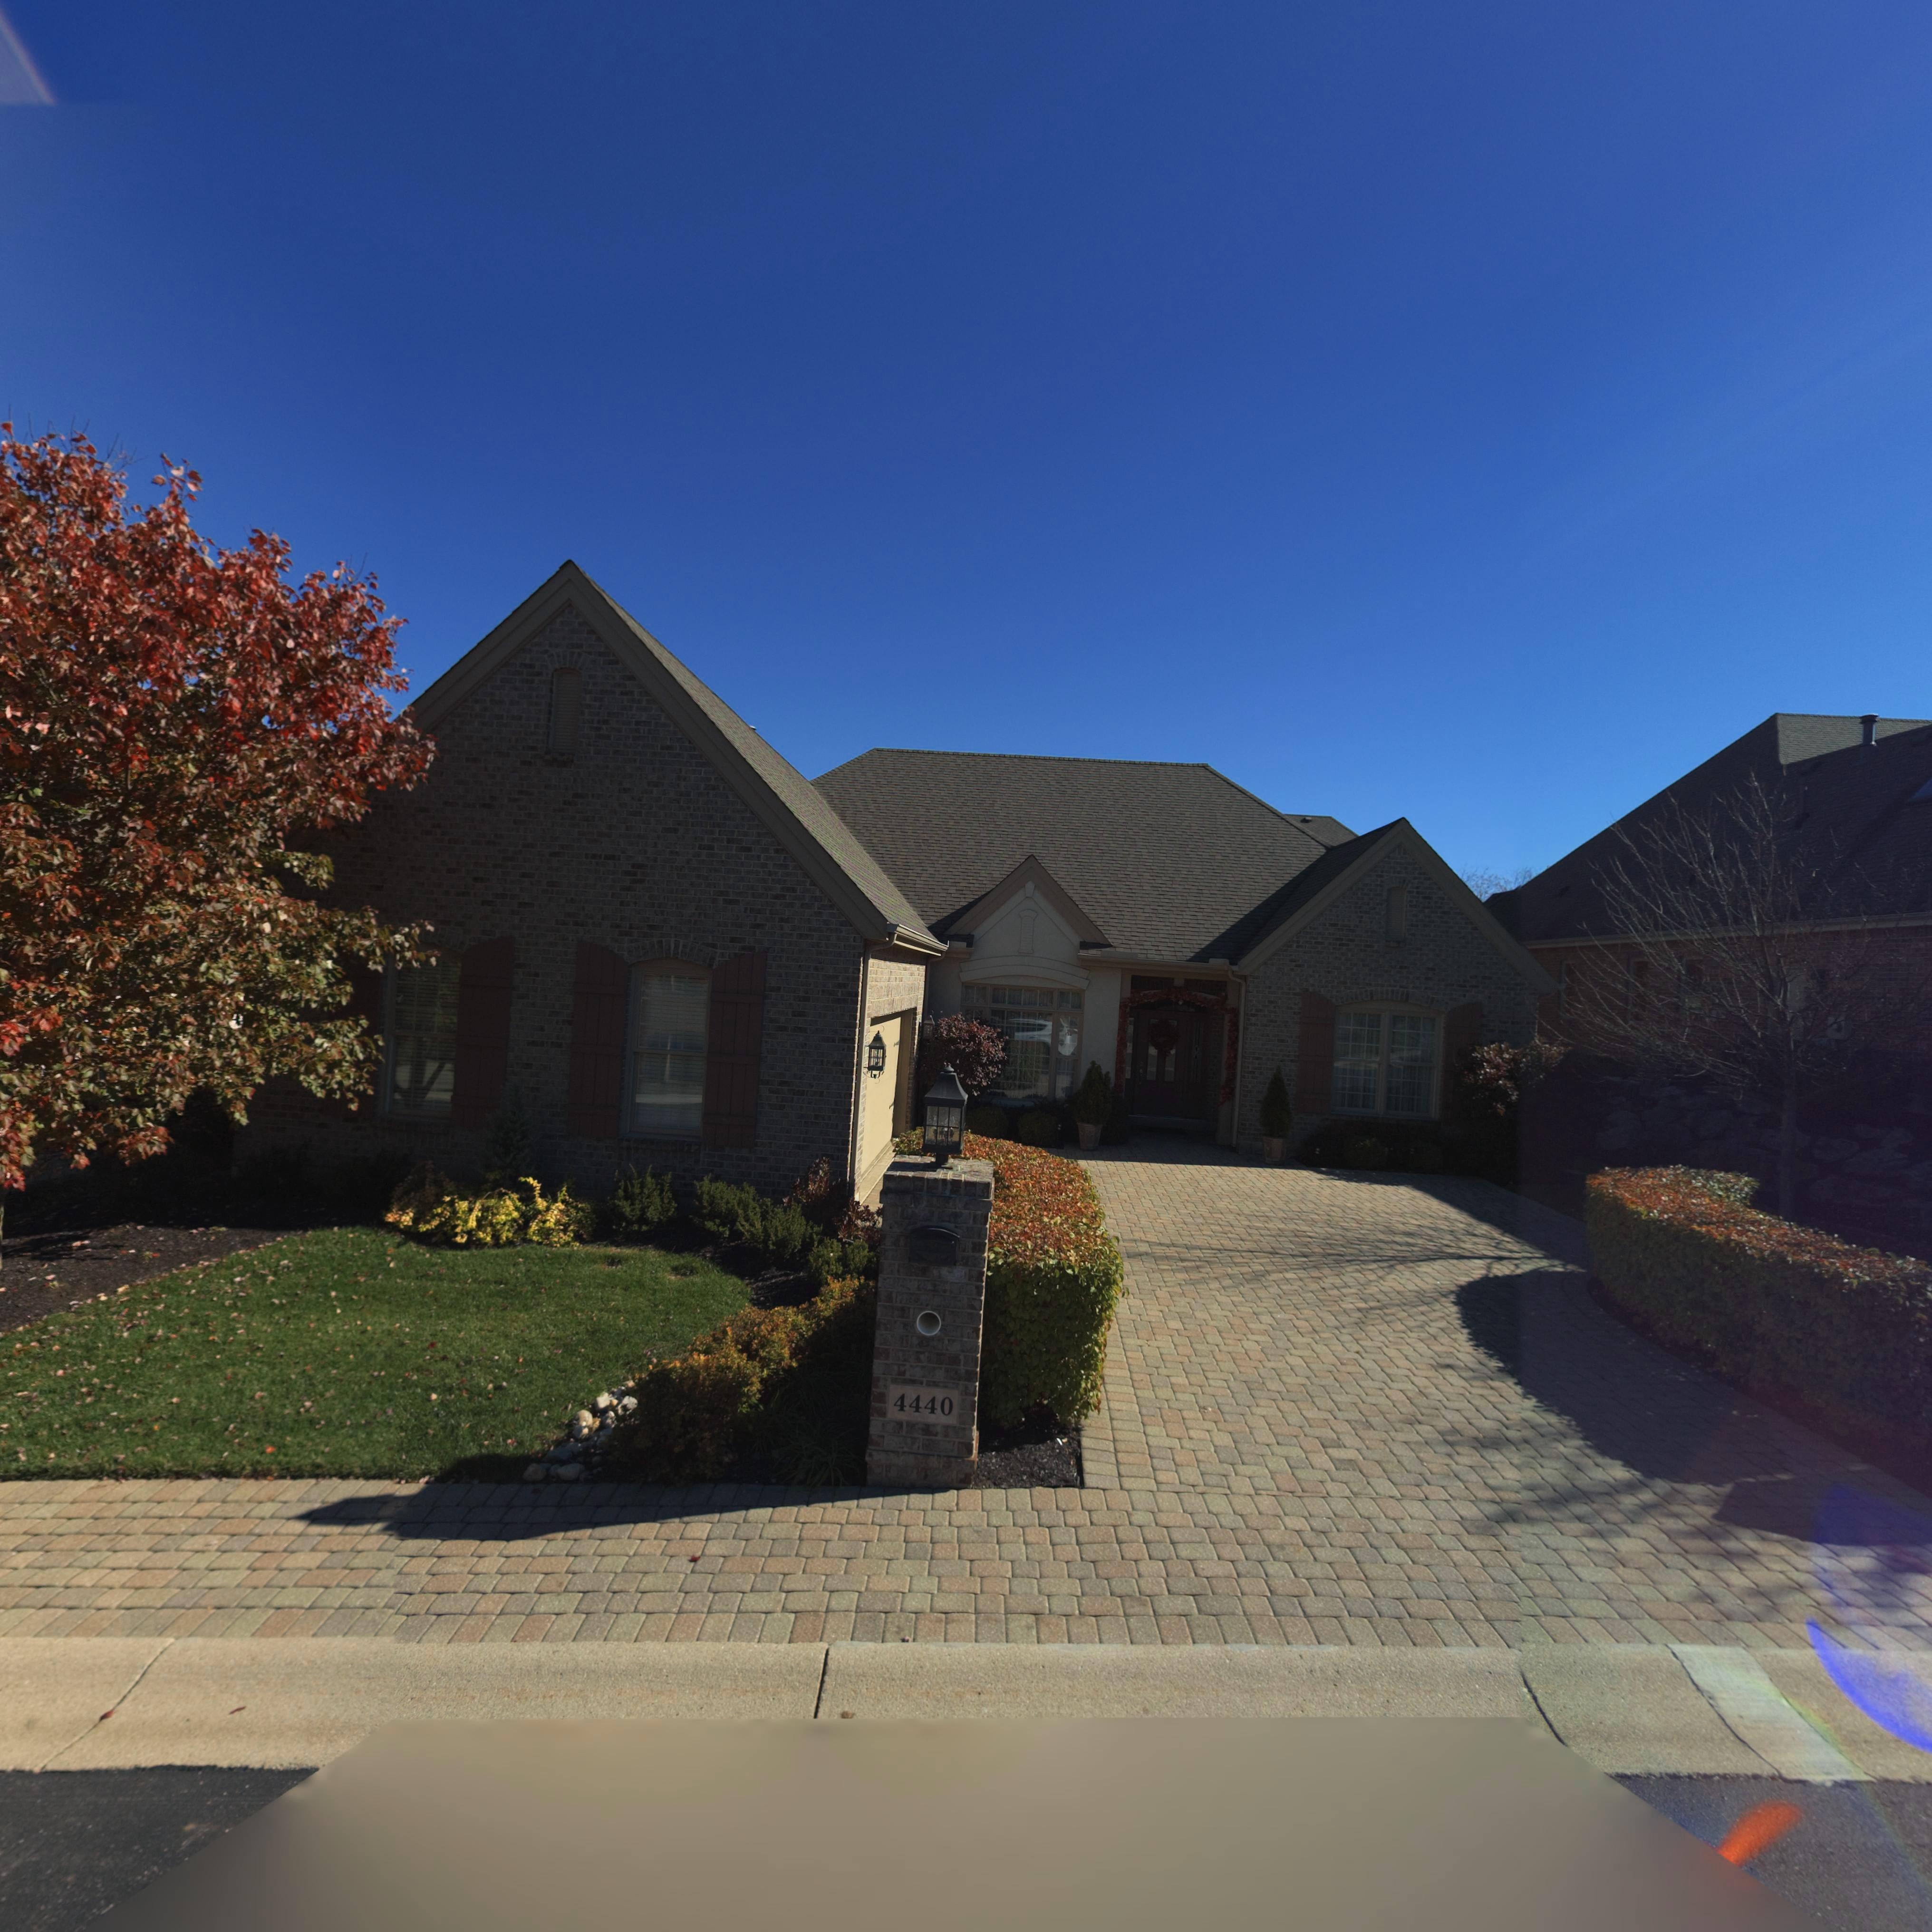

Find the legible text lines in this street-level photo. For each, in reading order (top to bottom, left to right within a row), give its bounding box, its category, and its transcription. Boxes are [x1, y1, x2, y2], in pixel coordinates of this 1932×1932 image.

[889, 1390, 956, 1419] StreetNumber: 4440